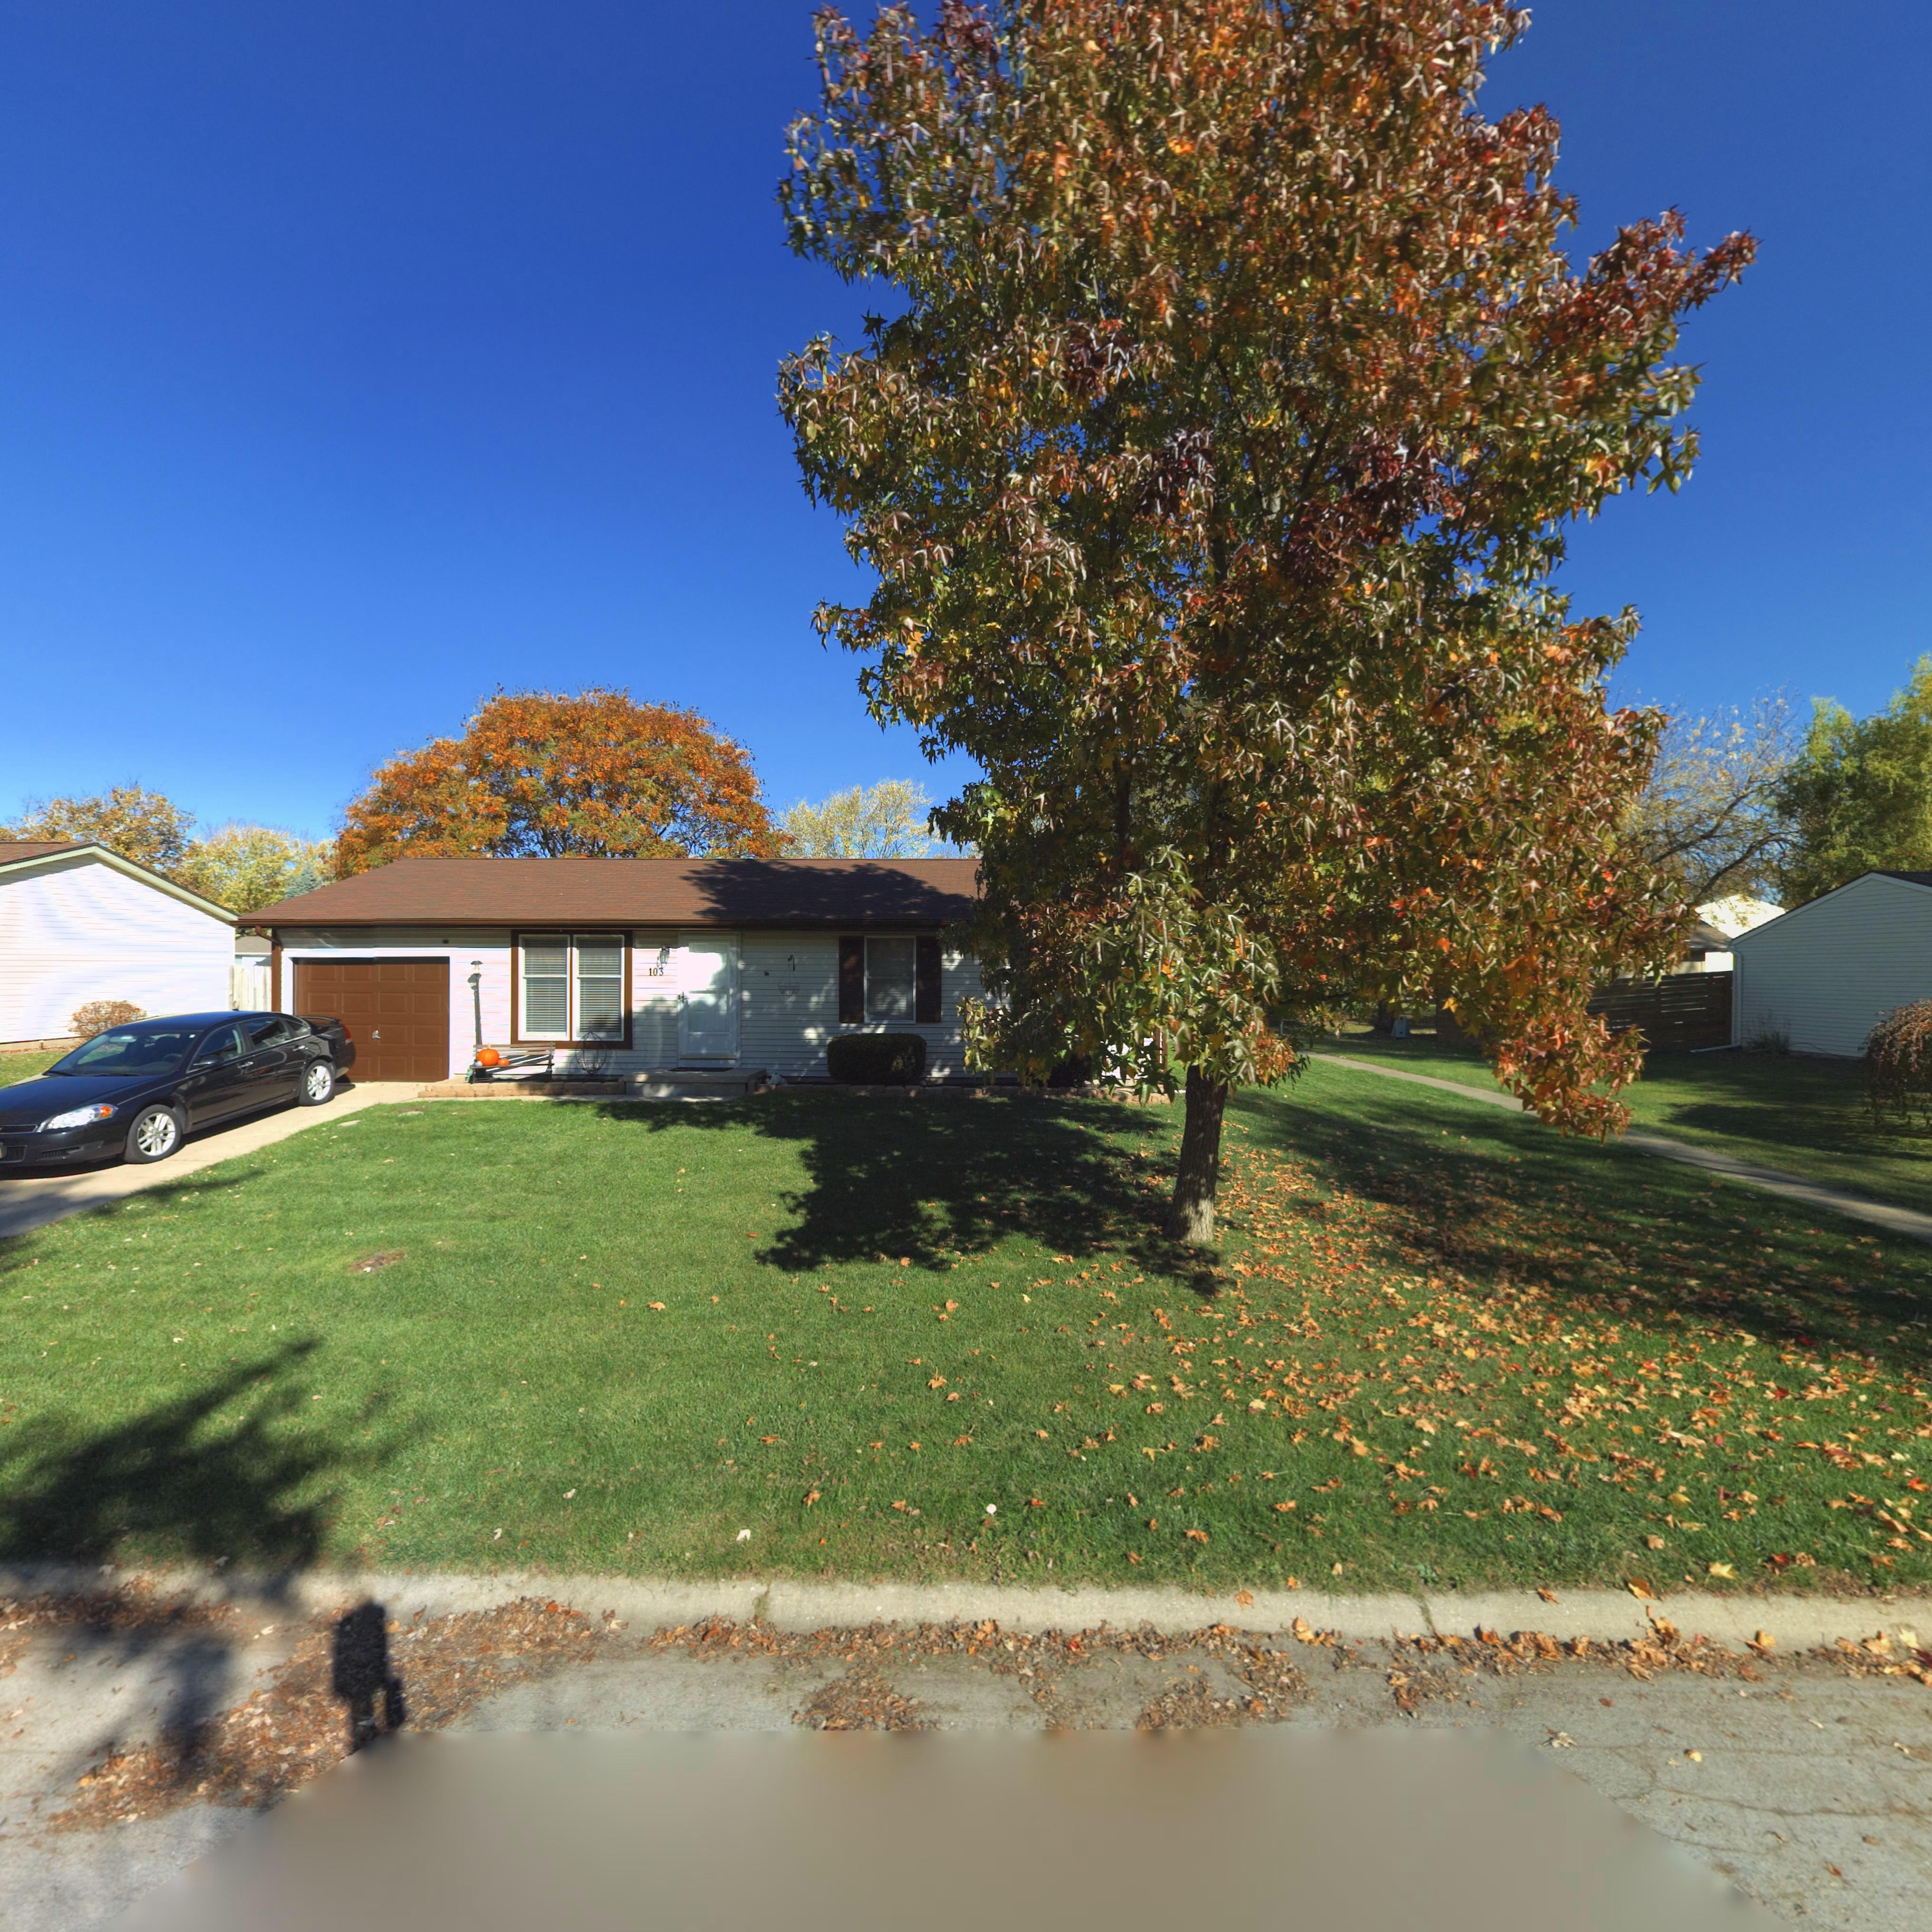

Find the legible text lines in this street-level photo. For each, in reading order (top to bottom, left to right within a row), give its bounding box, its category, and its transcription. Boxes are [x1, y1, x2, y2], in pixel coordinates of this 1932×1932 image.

[648, 966, 664, 977] StreetNumber: 103